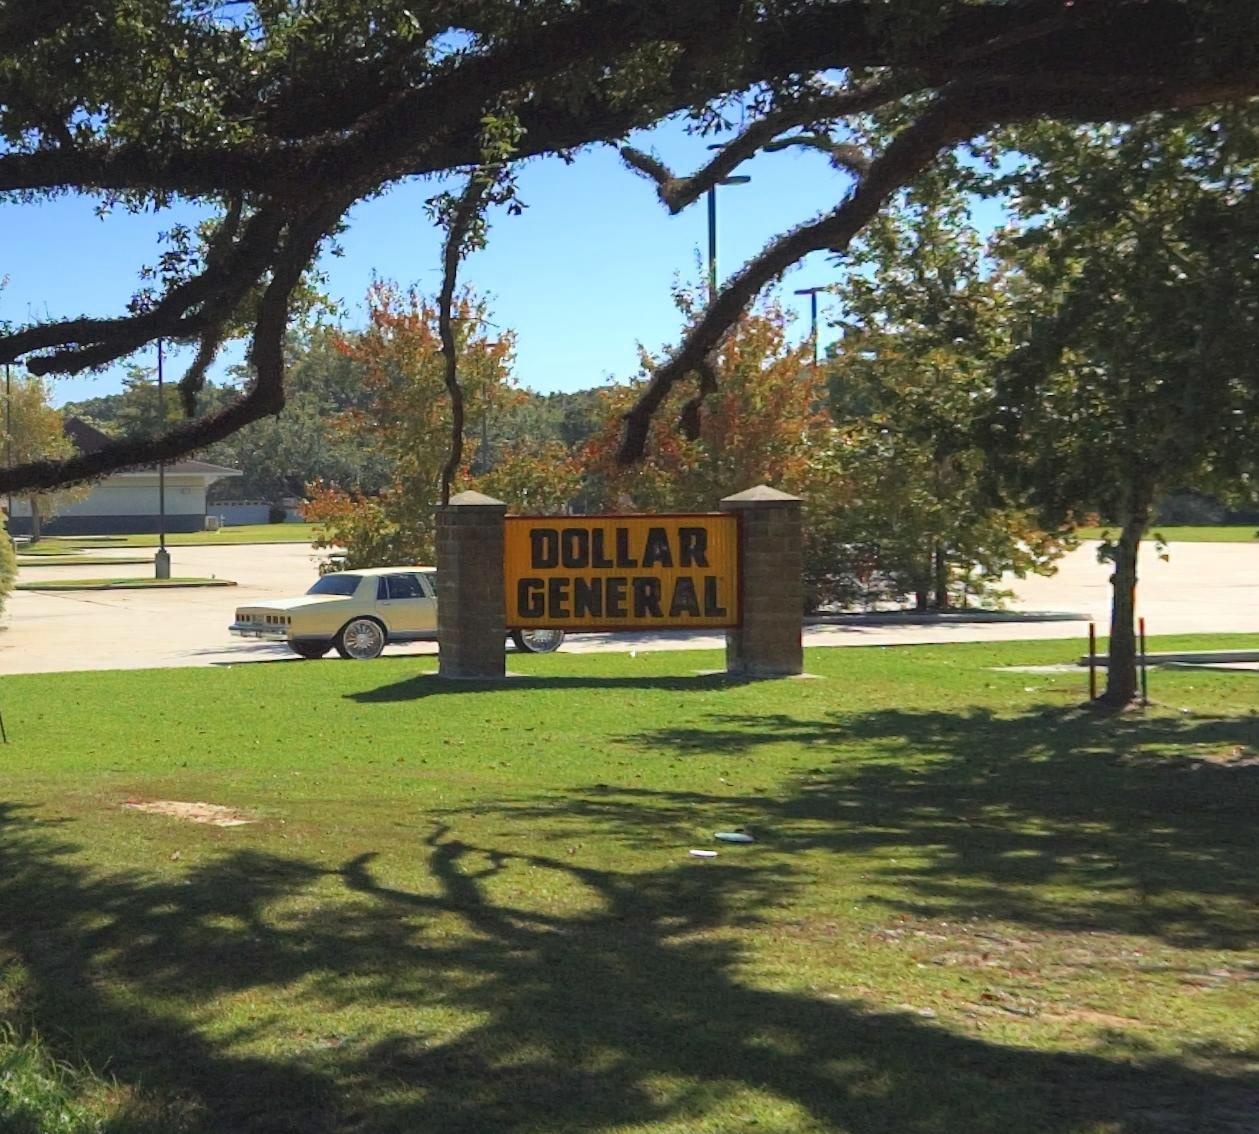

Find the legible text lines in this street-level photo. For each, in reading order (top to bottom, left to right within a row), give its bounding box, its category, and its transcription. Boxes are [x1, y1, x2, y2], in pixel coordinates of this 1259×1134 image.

[528, 525, 711, 570] BusinessName: DOLLAR
[516, 575, 729, 620] BusinessName: GENERAL